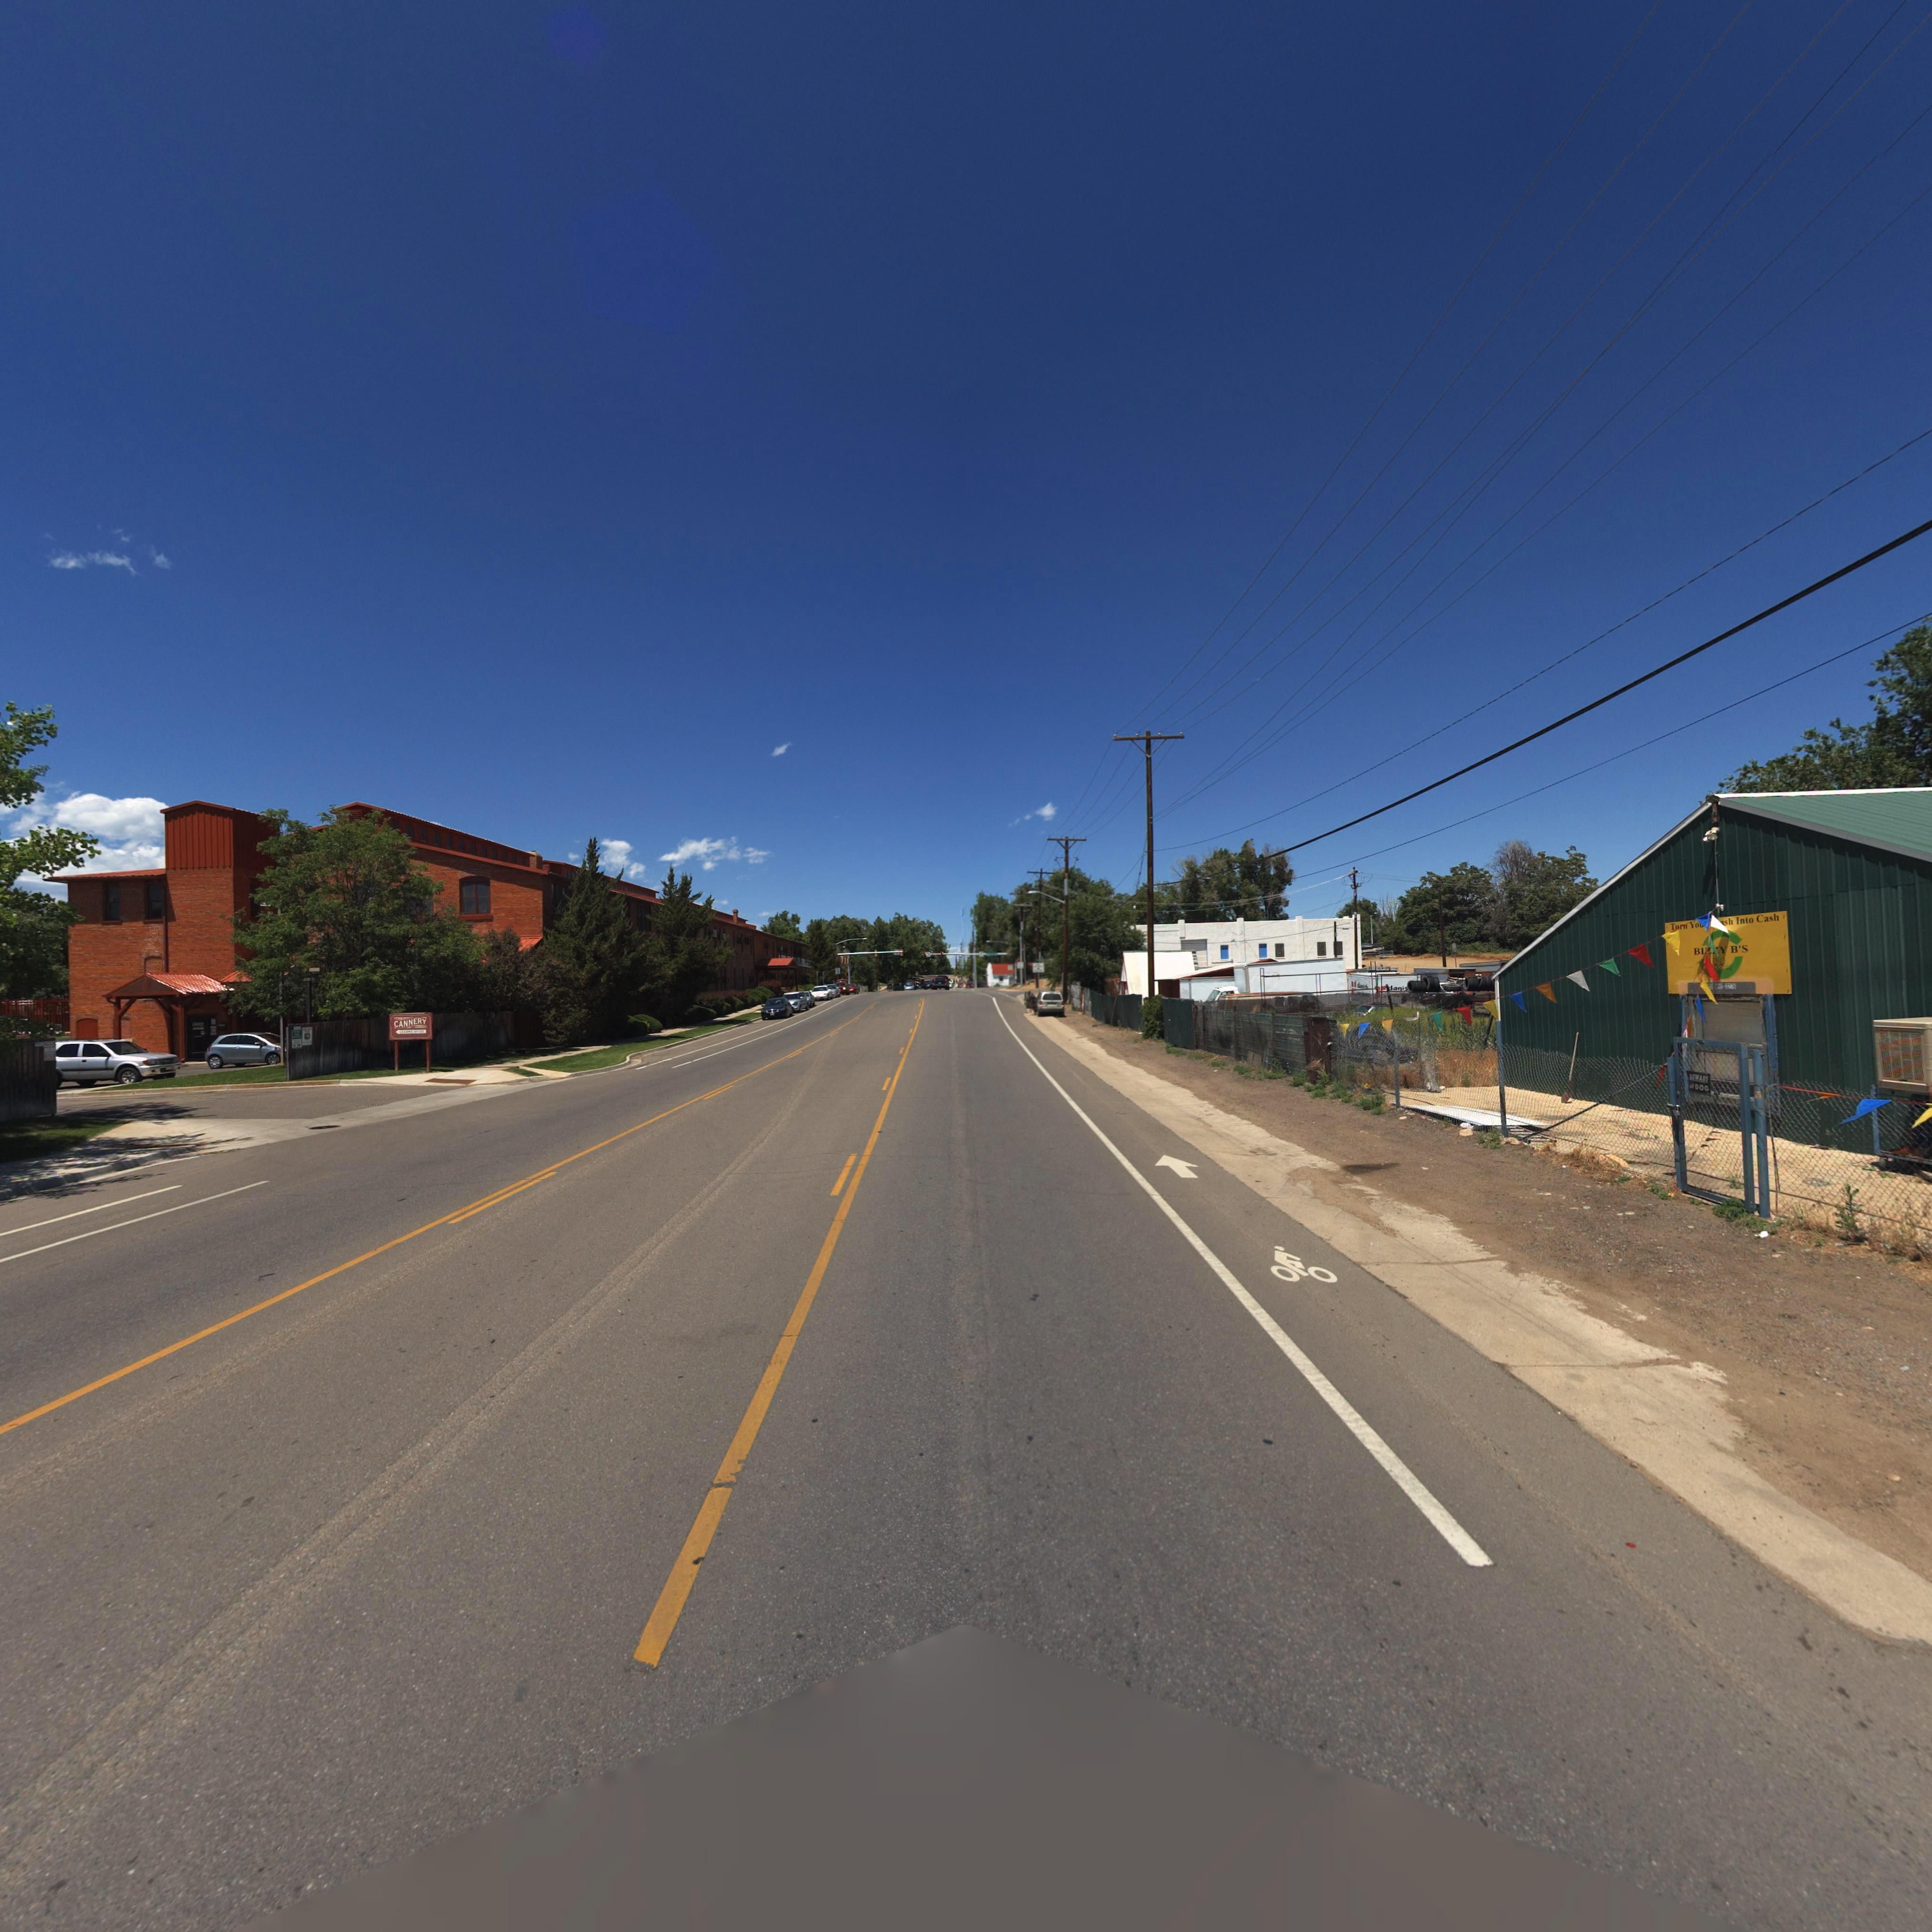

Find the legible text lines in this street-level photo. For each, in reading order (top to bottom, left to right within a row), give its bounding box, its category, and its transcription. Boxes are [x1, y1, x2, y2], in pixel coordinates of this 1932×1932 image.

[1693, 944, 1748, 956] BusinessName: BI**Y B'S
[192, 1021, 204, 1026] BusinessName: C******
[395, 1016, 403, 1020] BusinessName: THE
[393, 1017, 427, 1028] BusinessName: CANNERY